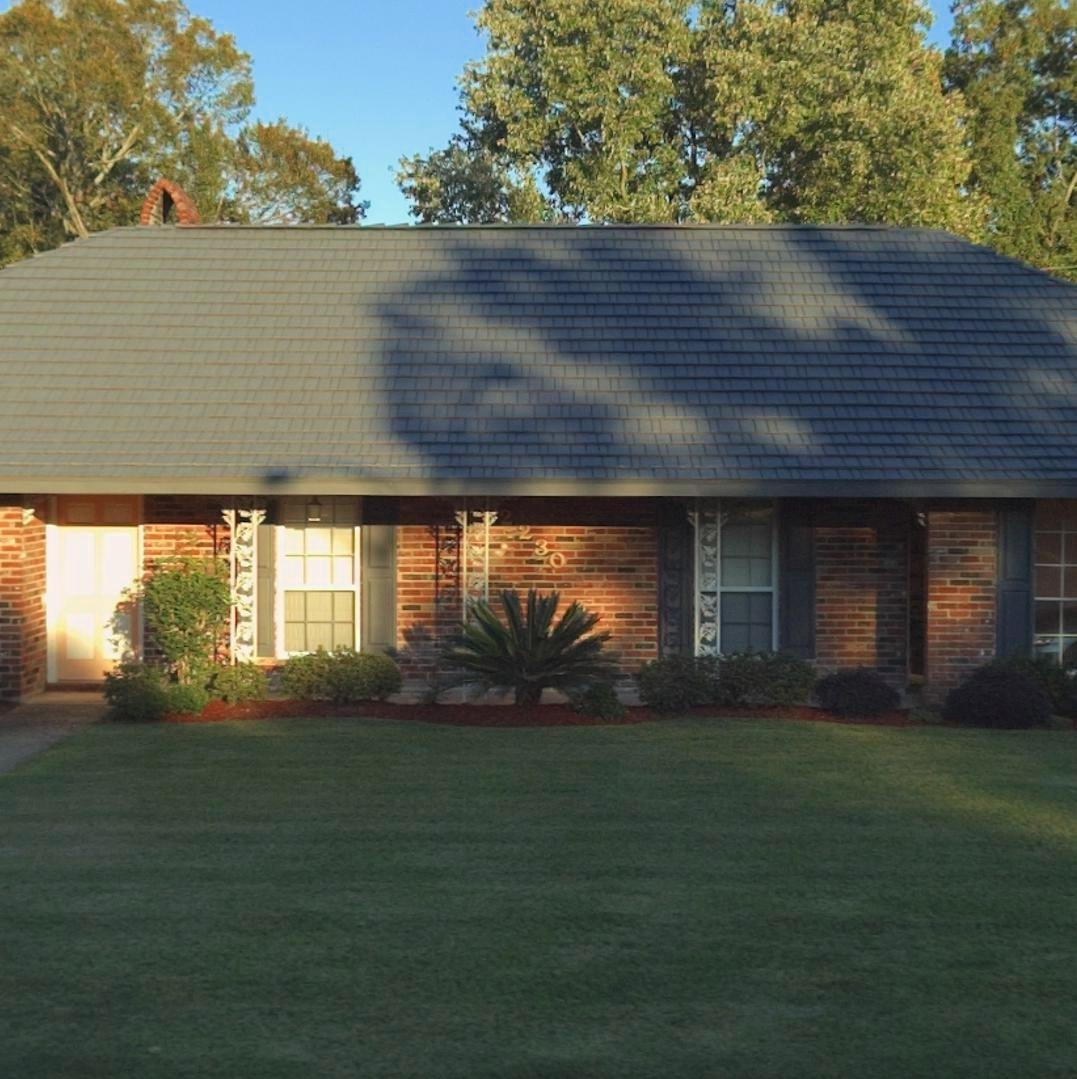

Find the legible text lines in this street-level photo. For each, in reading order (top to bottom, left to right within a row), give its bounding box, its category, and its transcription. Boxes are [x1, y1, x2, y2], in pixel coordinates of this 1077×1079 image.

[498, 507, 569, 572] StreetNumber: 2230